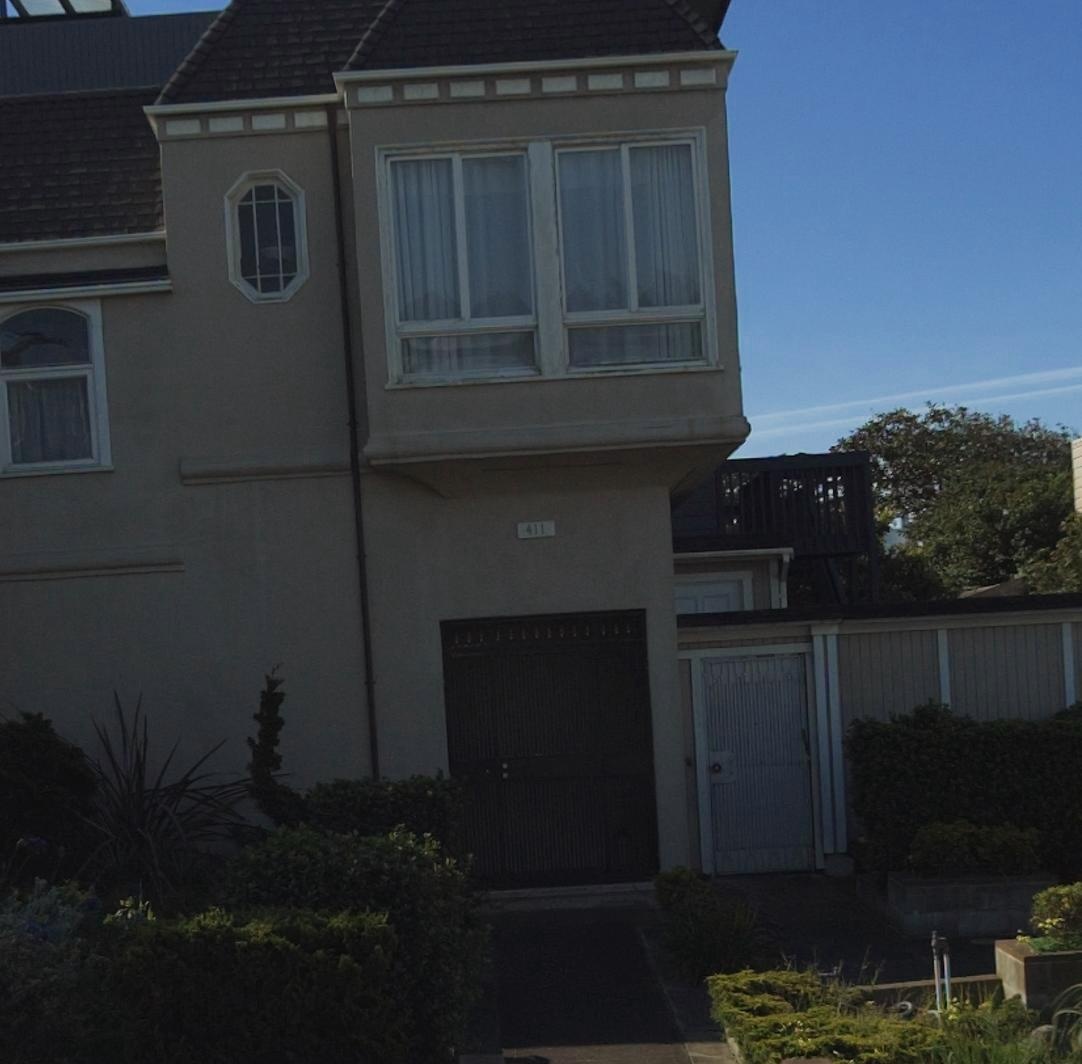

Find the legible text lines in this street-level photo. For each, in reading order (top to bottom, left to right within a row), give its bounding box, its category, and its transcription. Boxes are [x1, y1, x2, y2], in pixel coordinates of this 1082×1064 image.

[523, 522, 547, 536] StreetNumber: 411